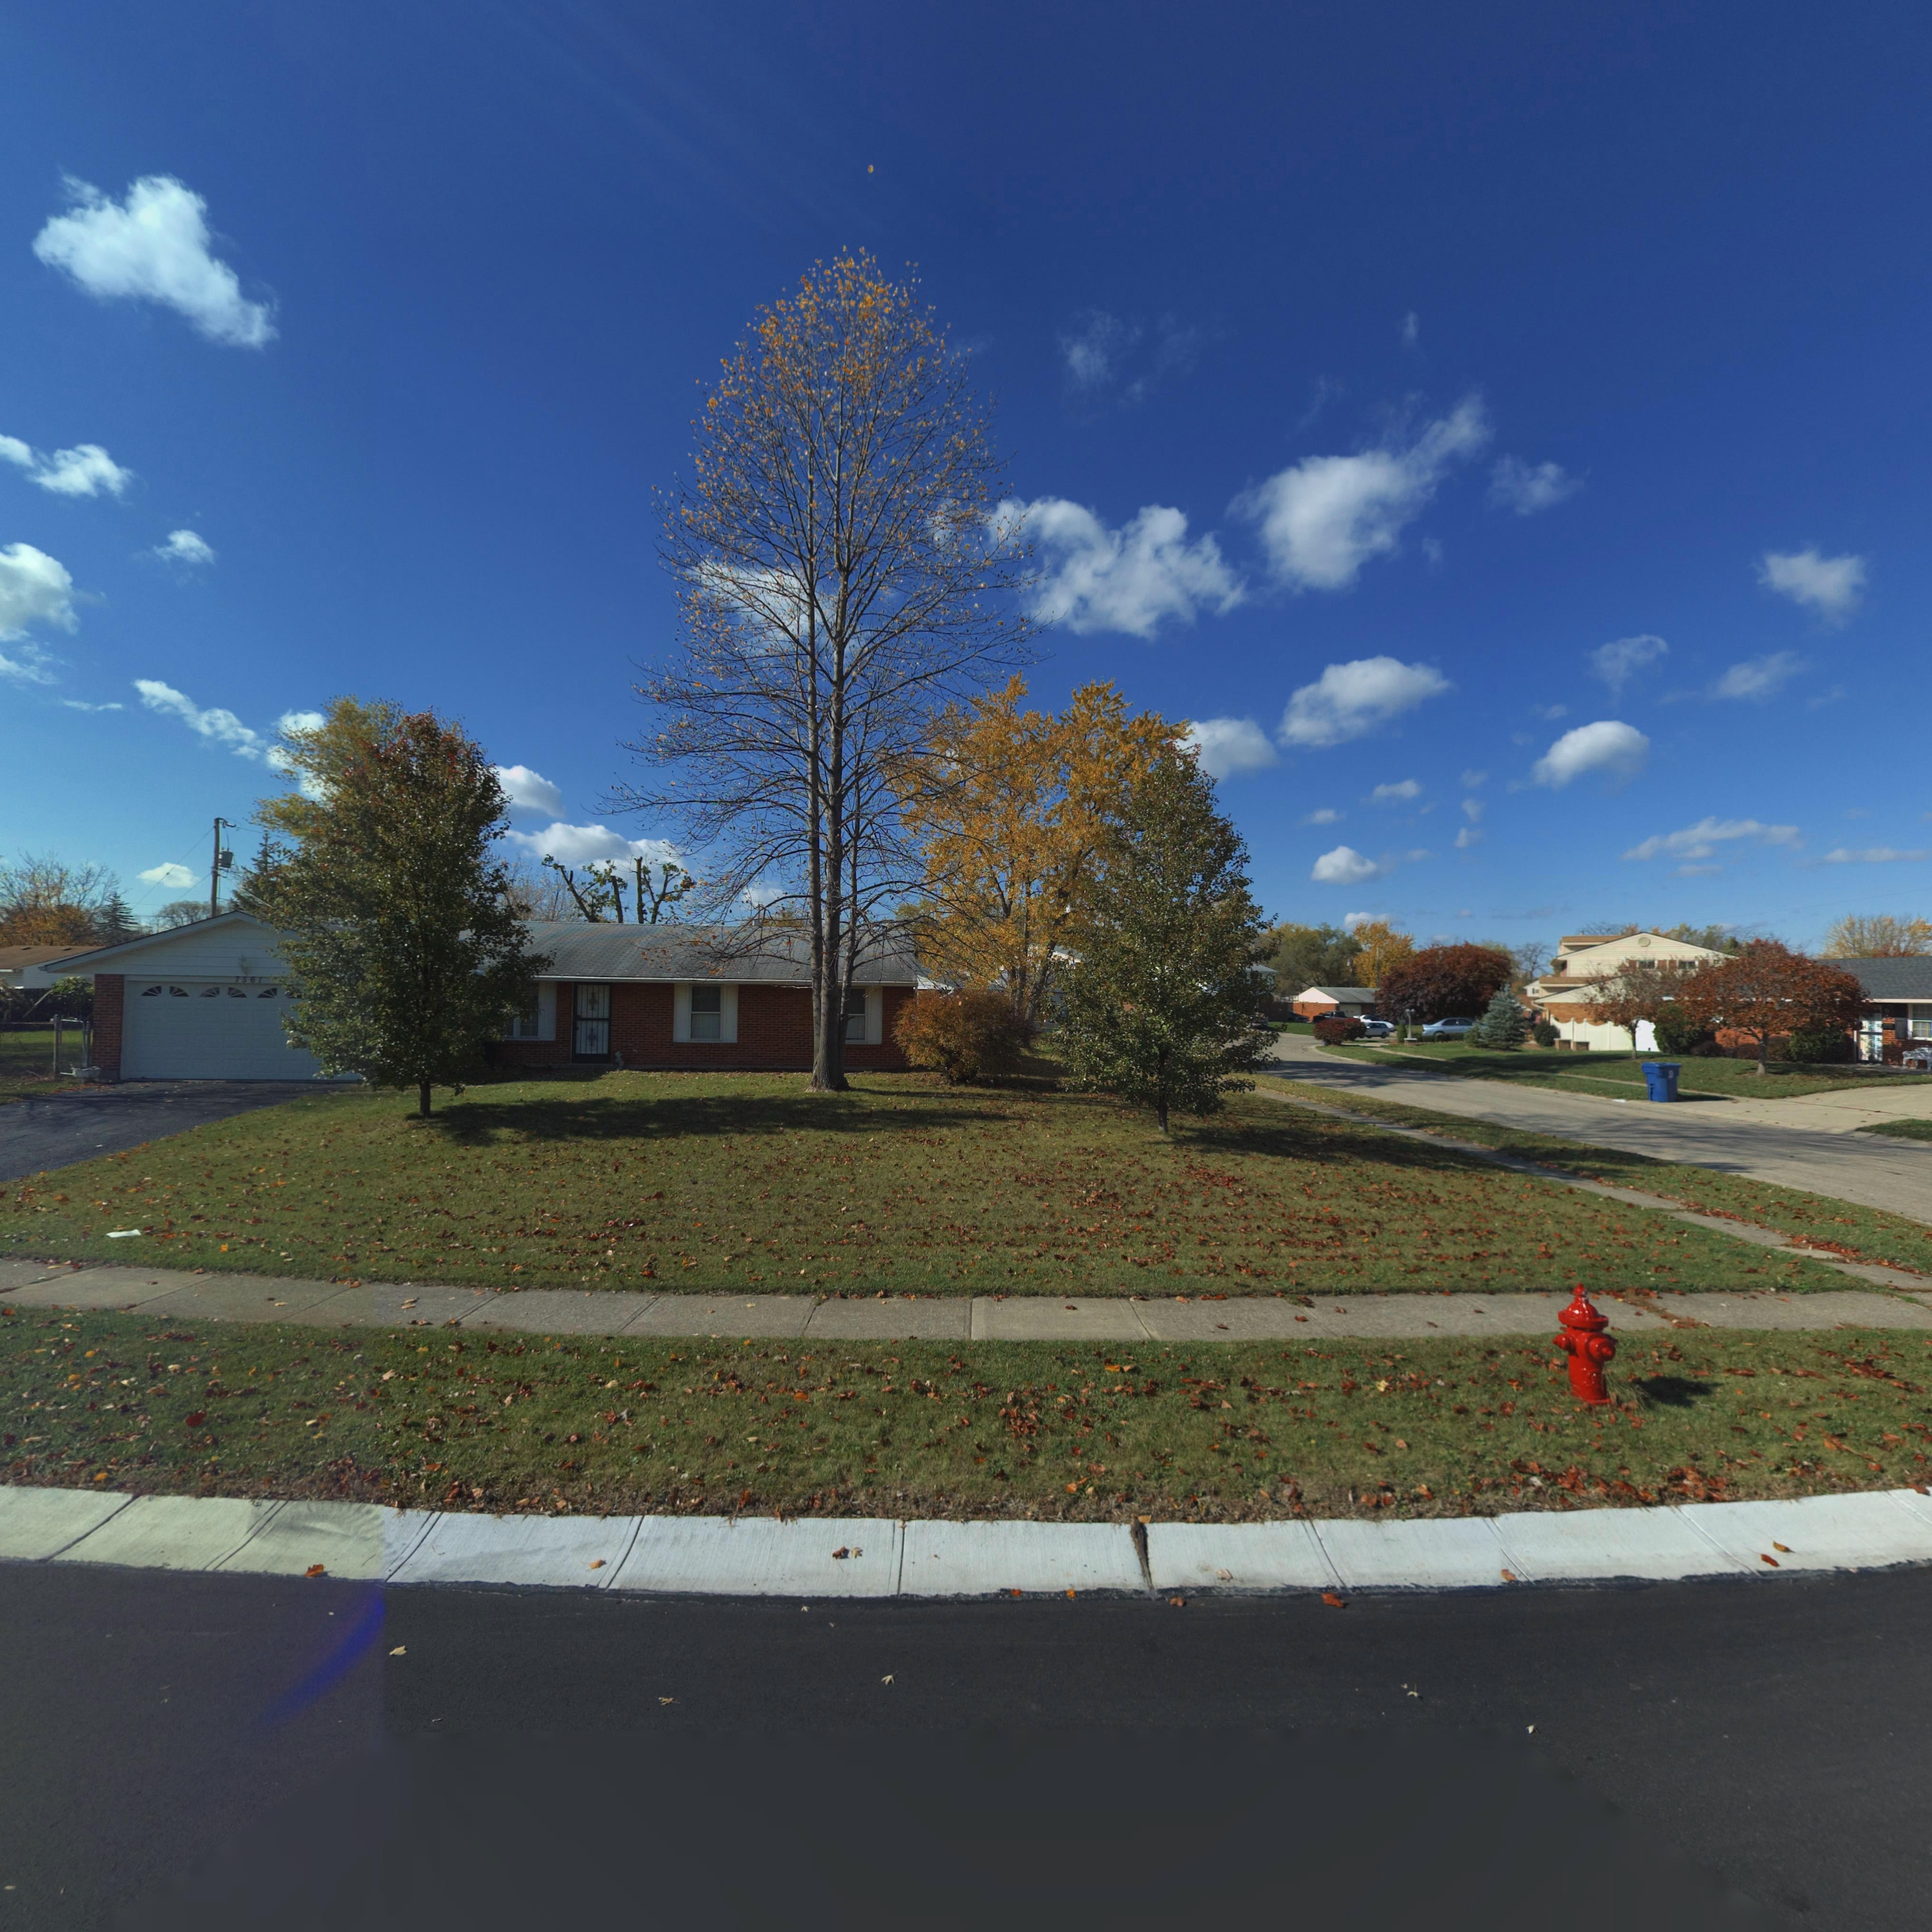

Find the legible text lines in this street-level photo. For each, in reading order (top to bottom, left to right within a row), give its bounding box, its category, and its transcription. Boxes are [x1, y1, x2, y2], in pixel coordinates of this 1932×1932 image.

[234, 975, 263, 984] StreetNumber: 7561